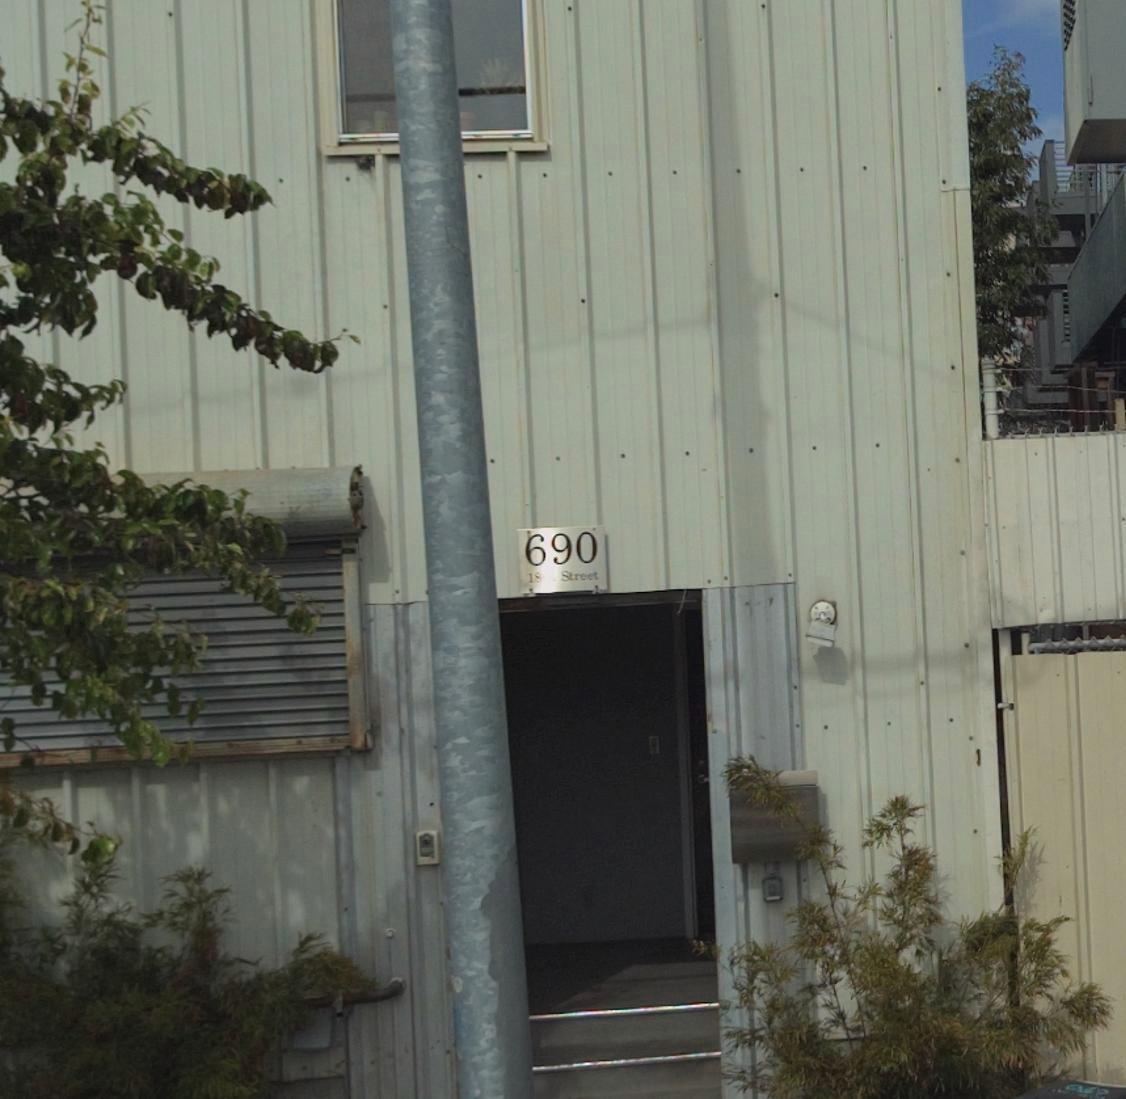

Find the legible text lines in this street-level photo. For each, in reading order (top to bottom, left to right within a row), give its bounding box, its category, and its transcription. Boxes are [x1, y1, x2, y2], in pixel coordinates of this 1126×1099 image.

[523, 529, 601, 568] StreetNumber: 690
[526, 570, 542, 585] None: 18
[559, 568, 600, 582] None: Street